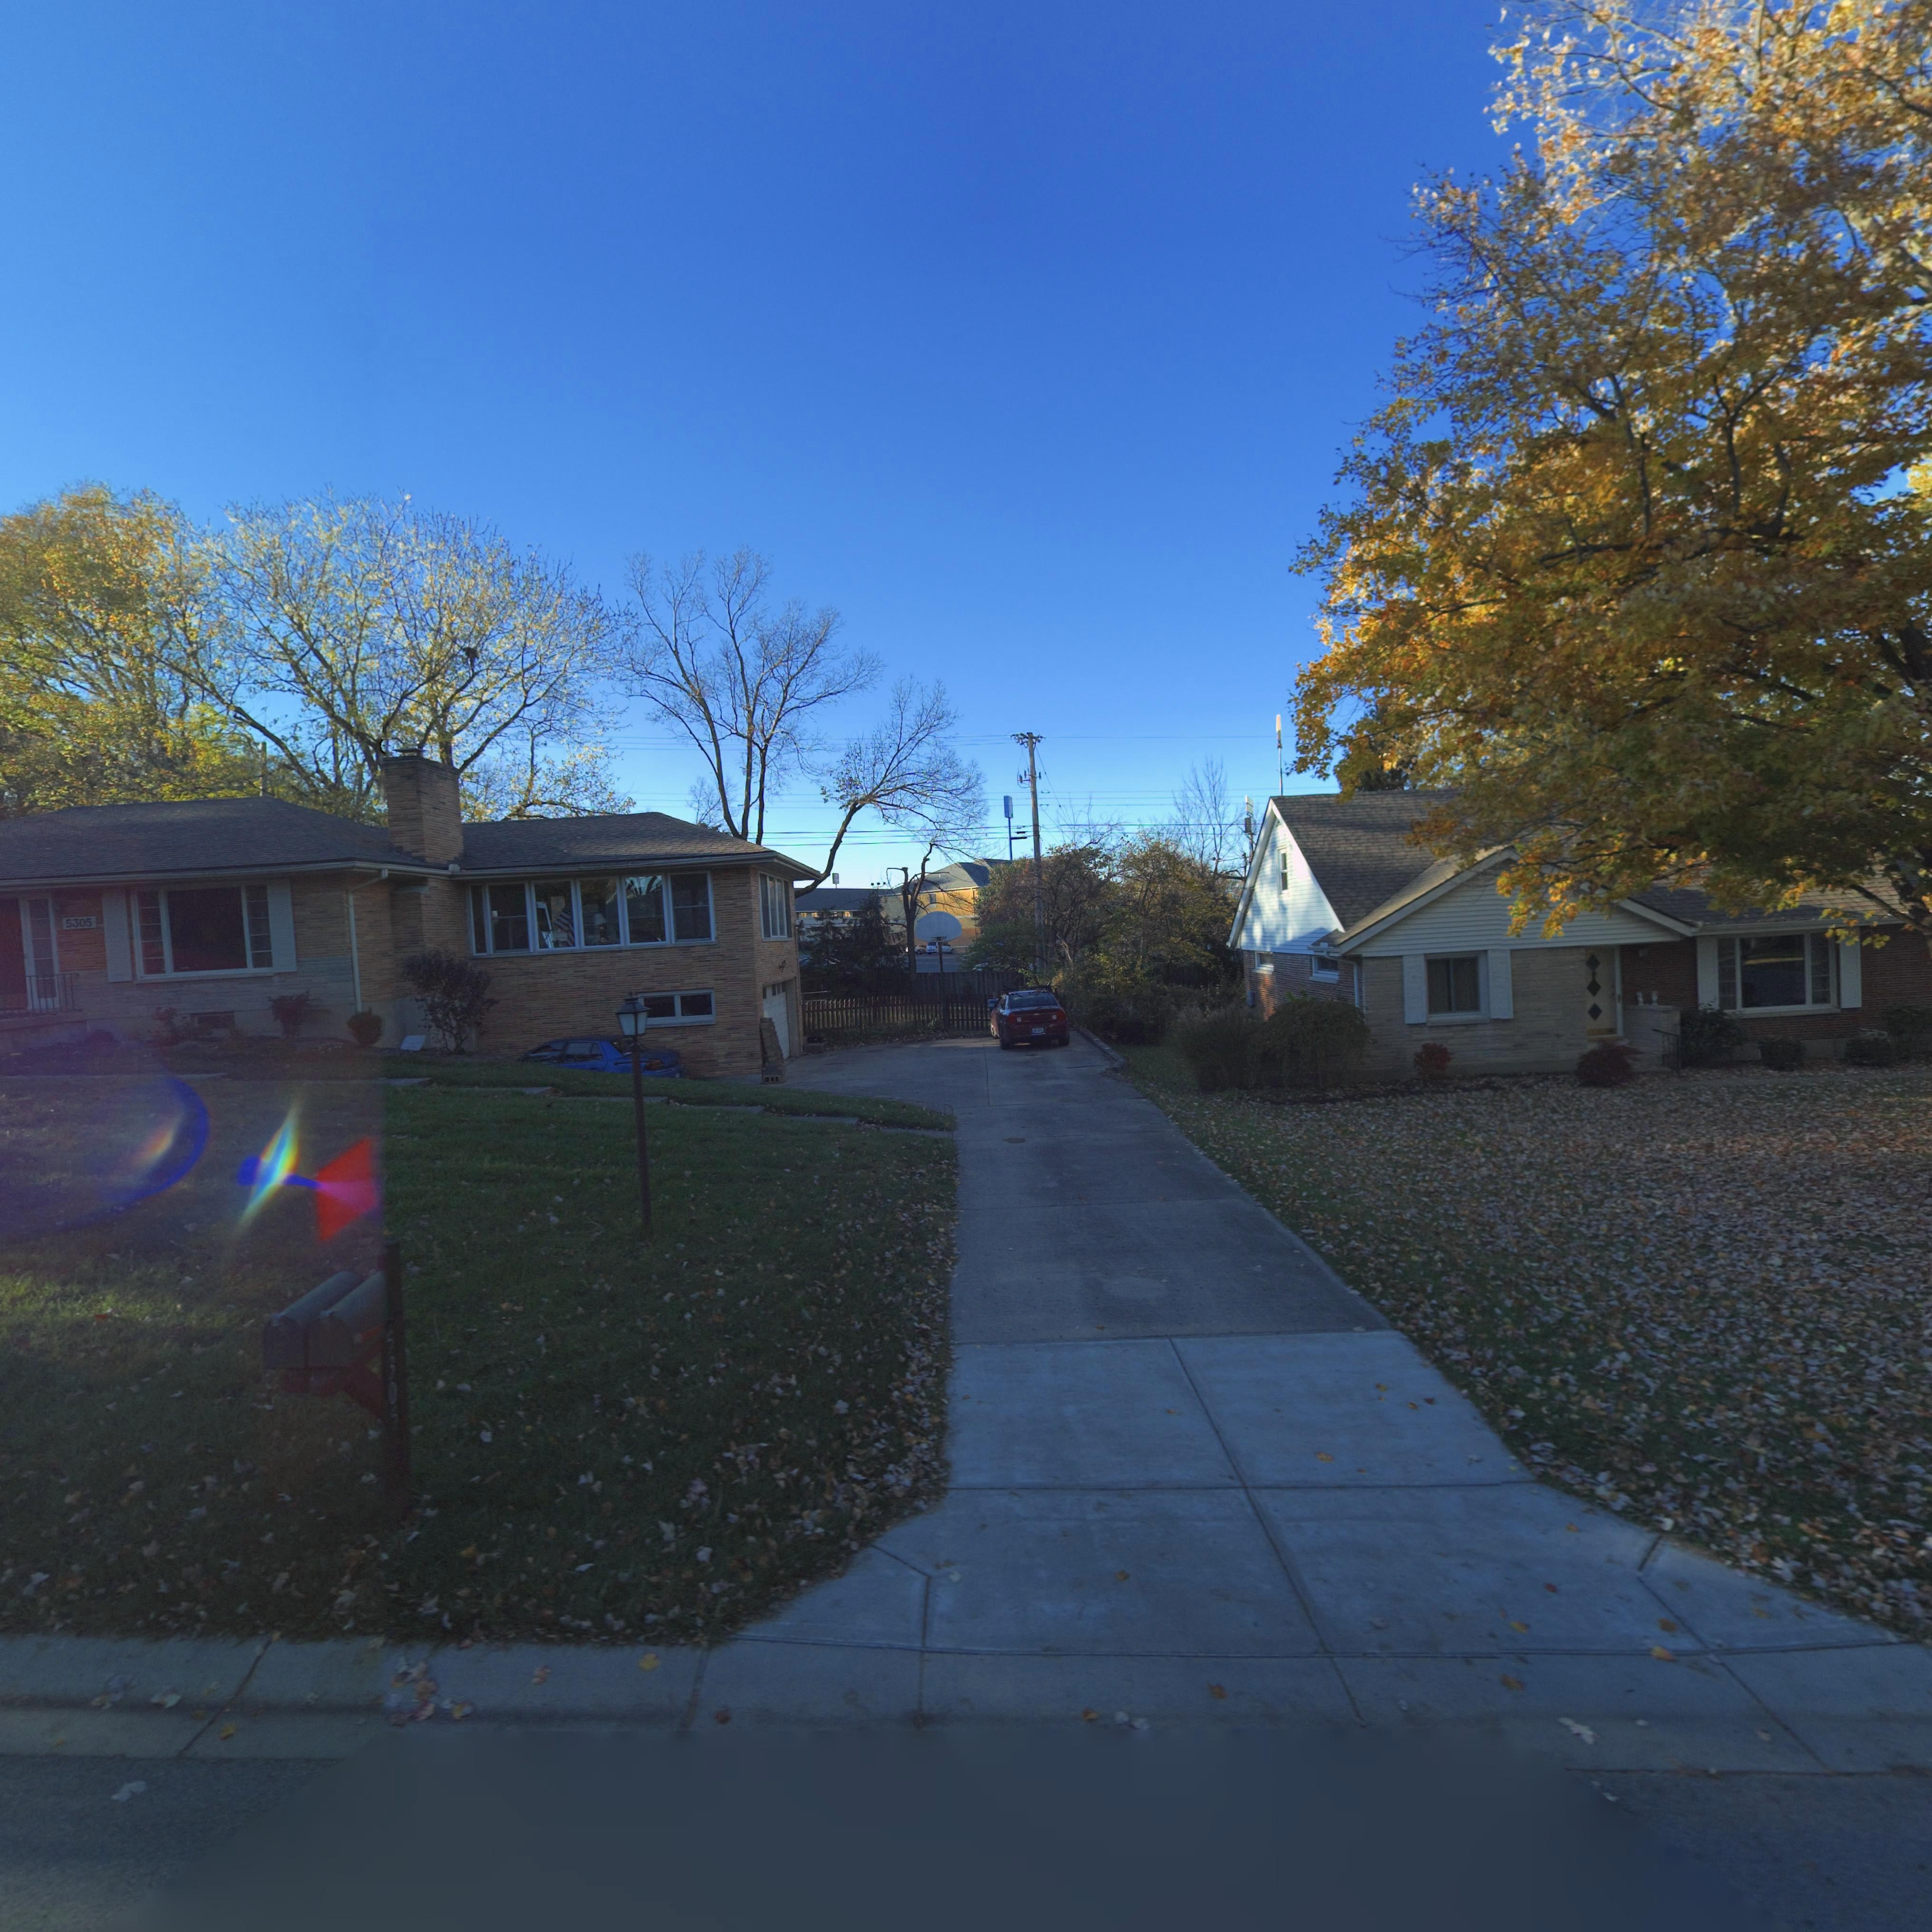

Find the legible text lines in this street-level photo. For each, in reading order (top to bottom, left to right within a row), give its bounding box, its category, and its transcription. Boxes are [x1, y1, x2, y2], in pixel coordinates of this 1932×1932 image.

[65, 916, 93, 929] StreetNumber: 5305
[384, 1325, 402, 1434] StreetNumber: 5305